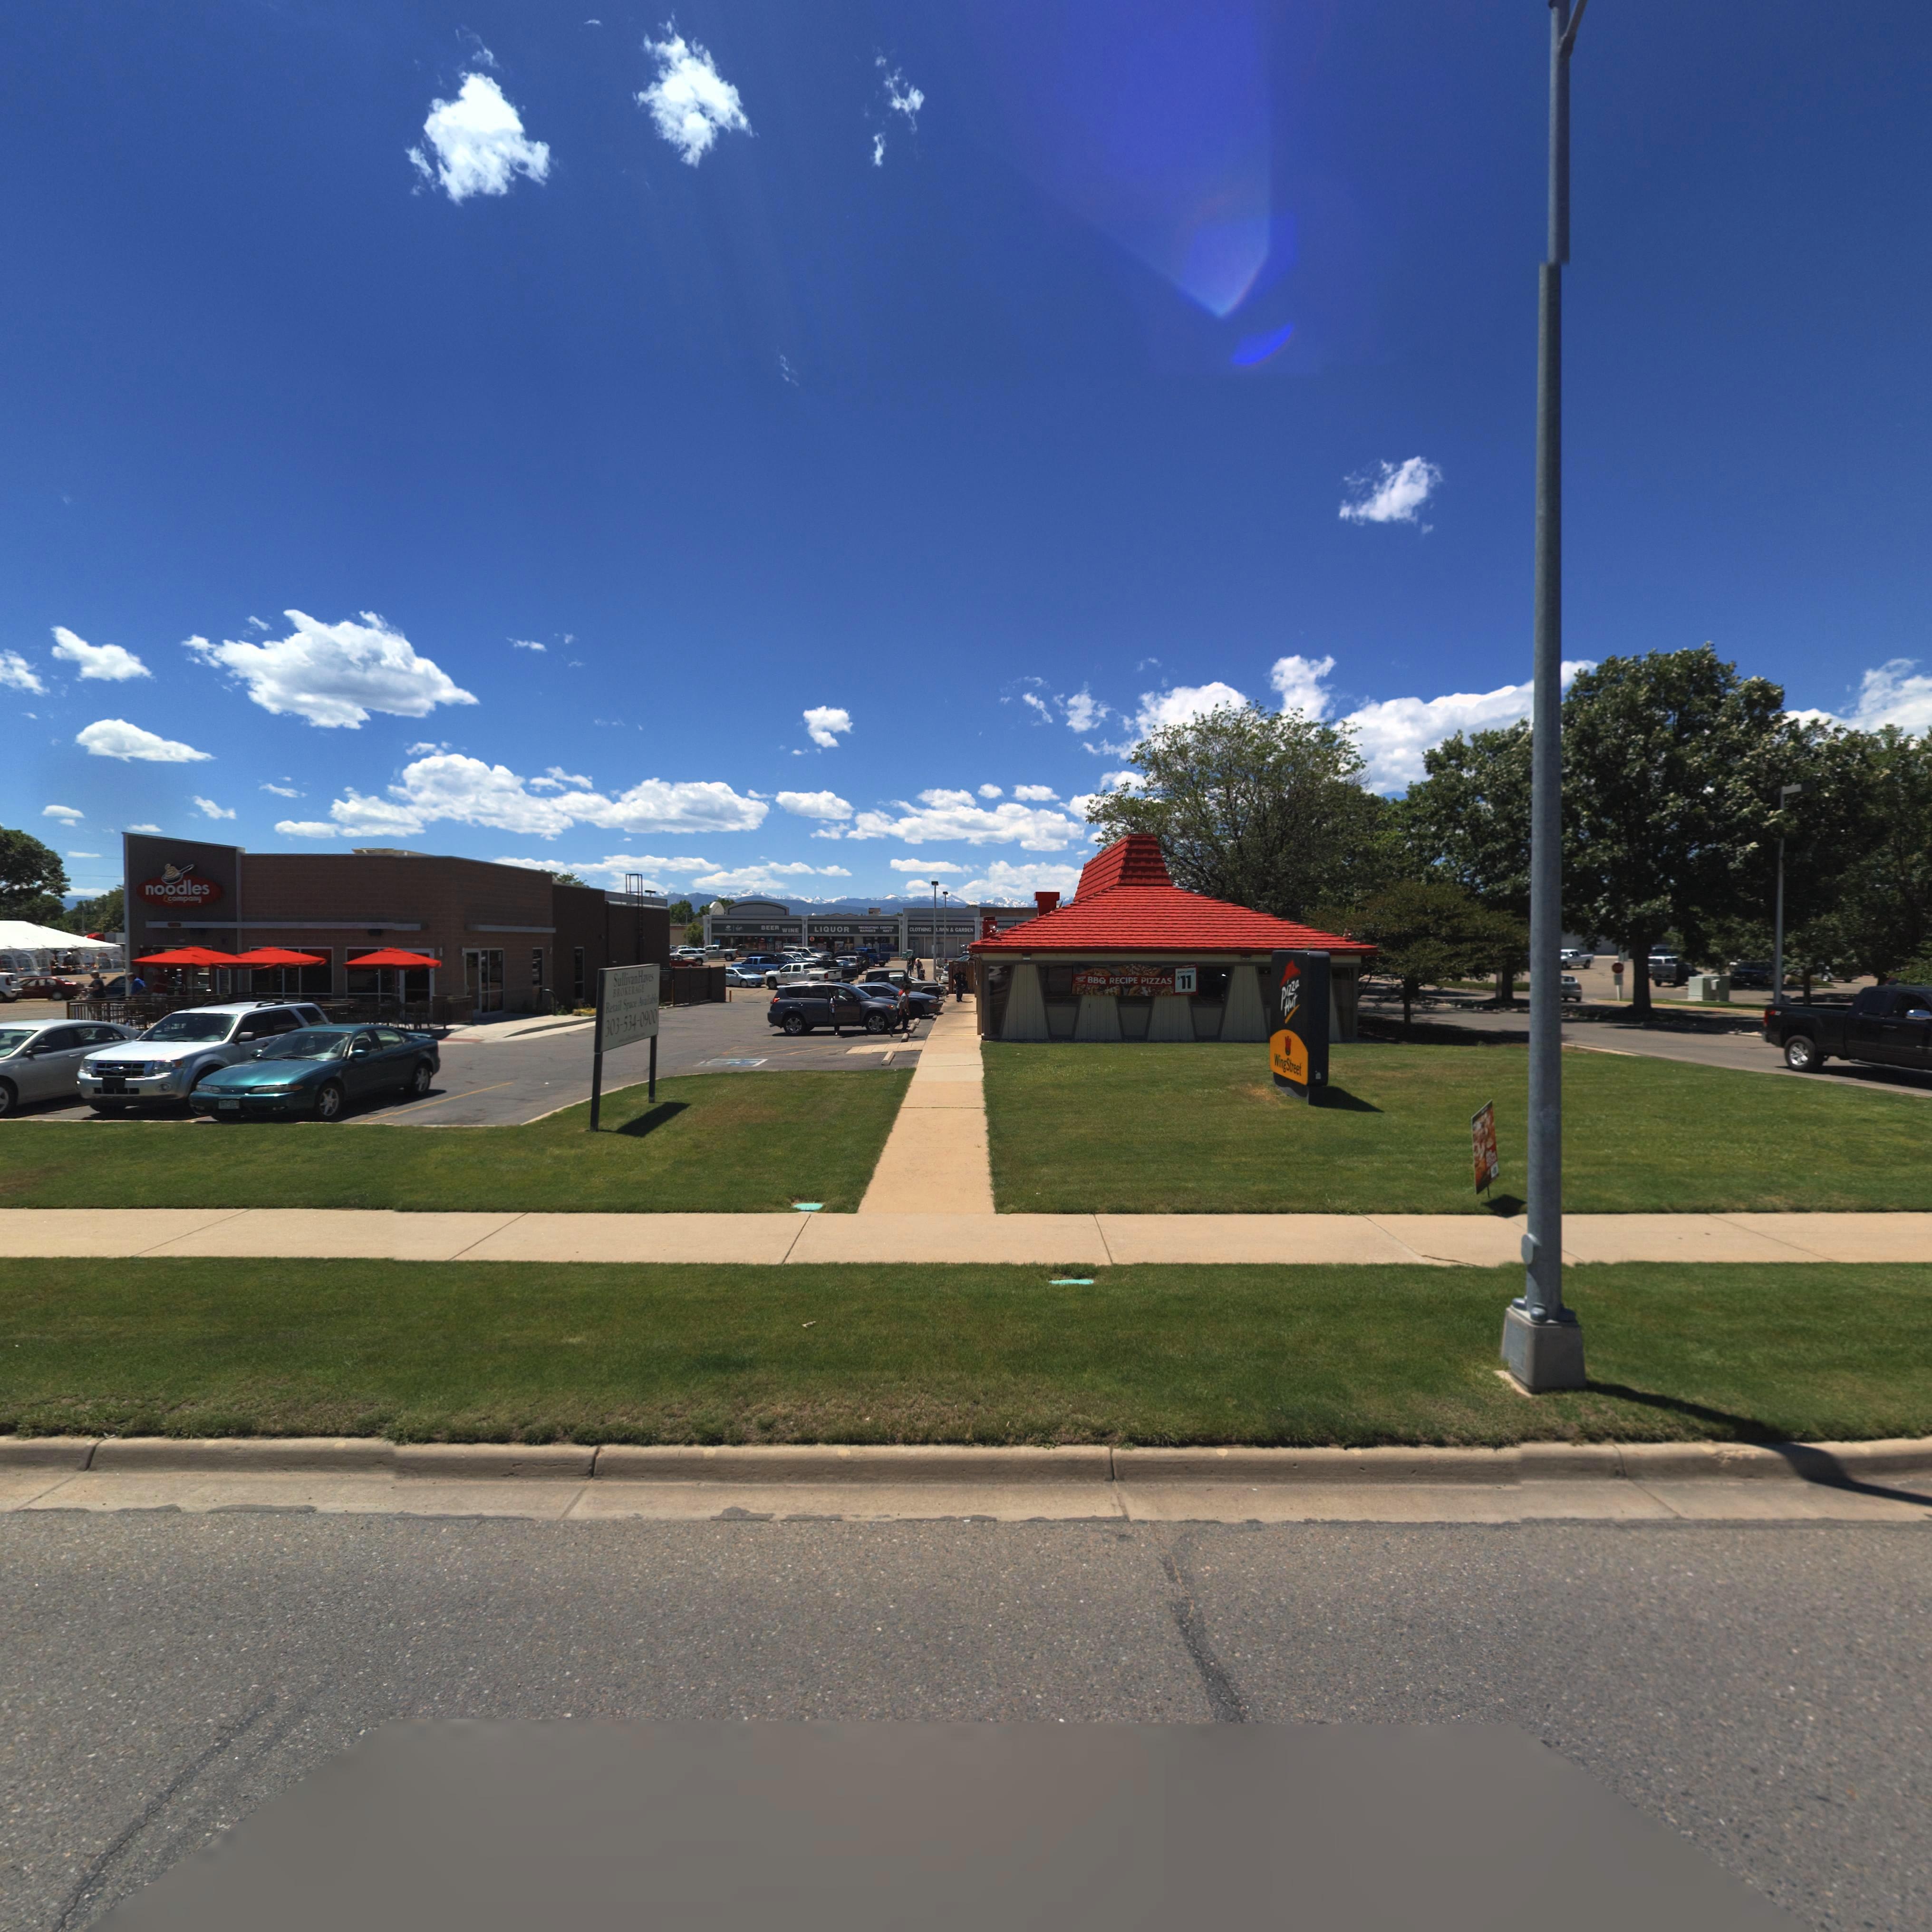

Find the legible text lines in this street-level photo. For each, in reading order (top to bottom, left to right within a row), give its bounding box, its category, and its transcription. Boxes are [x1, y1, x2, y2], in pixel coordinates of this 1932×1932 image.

[145, 879, 210, 895] BusinessName: noodles
[1280, 979, 1299, 1011] BusinessName: pizza
[1284, 992, 1297, 1016] BusinessName: Hut
[1274, 1053, 1301, 1076] BusinessName: W*ngStreet